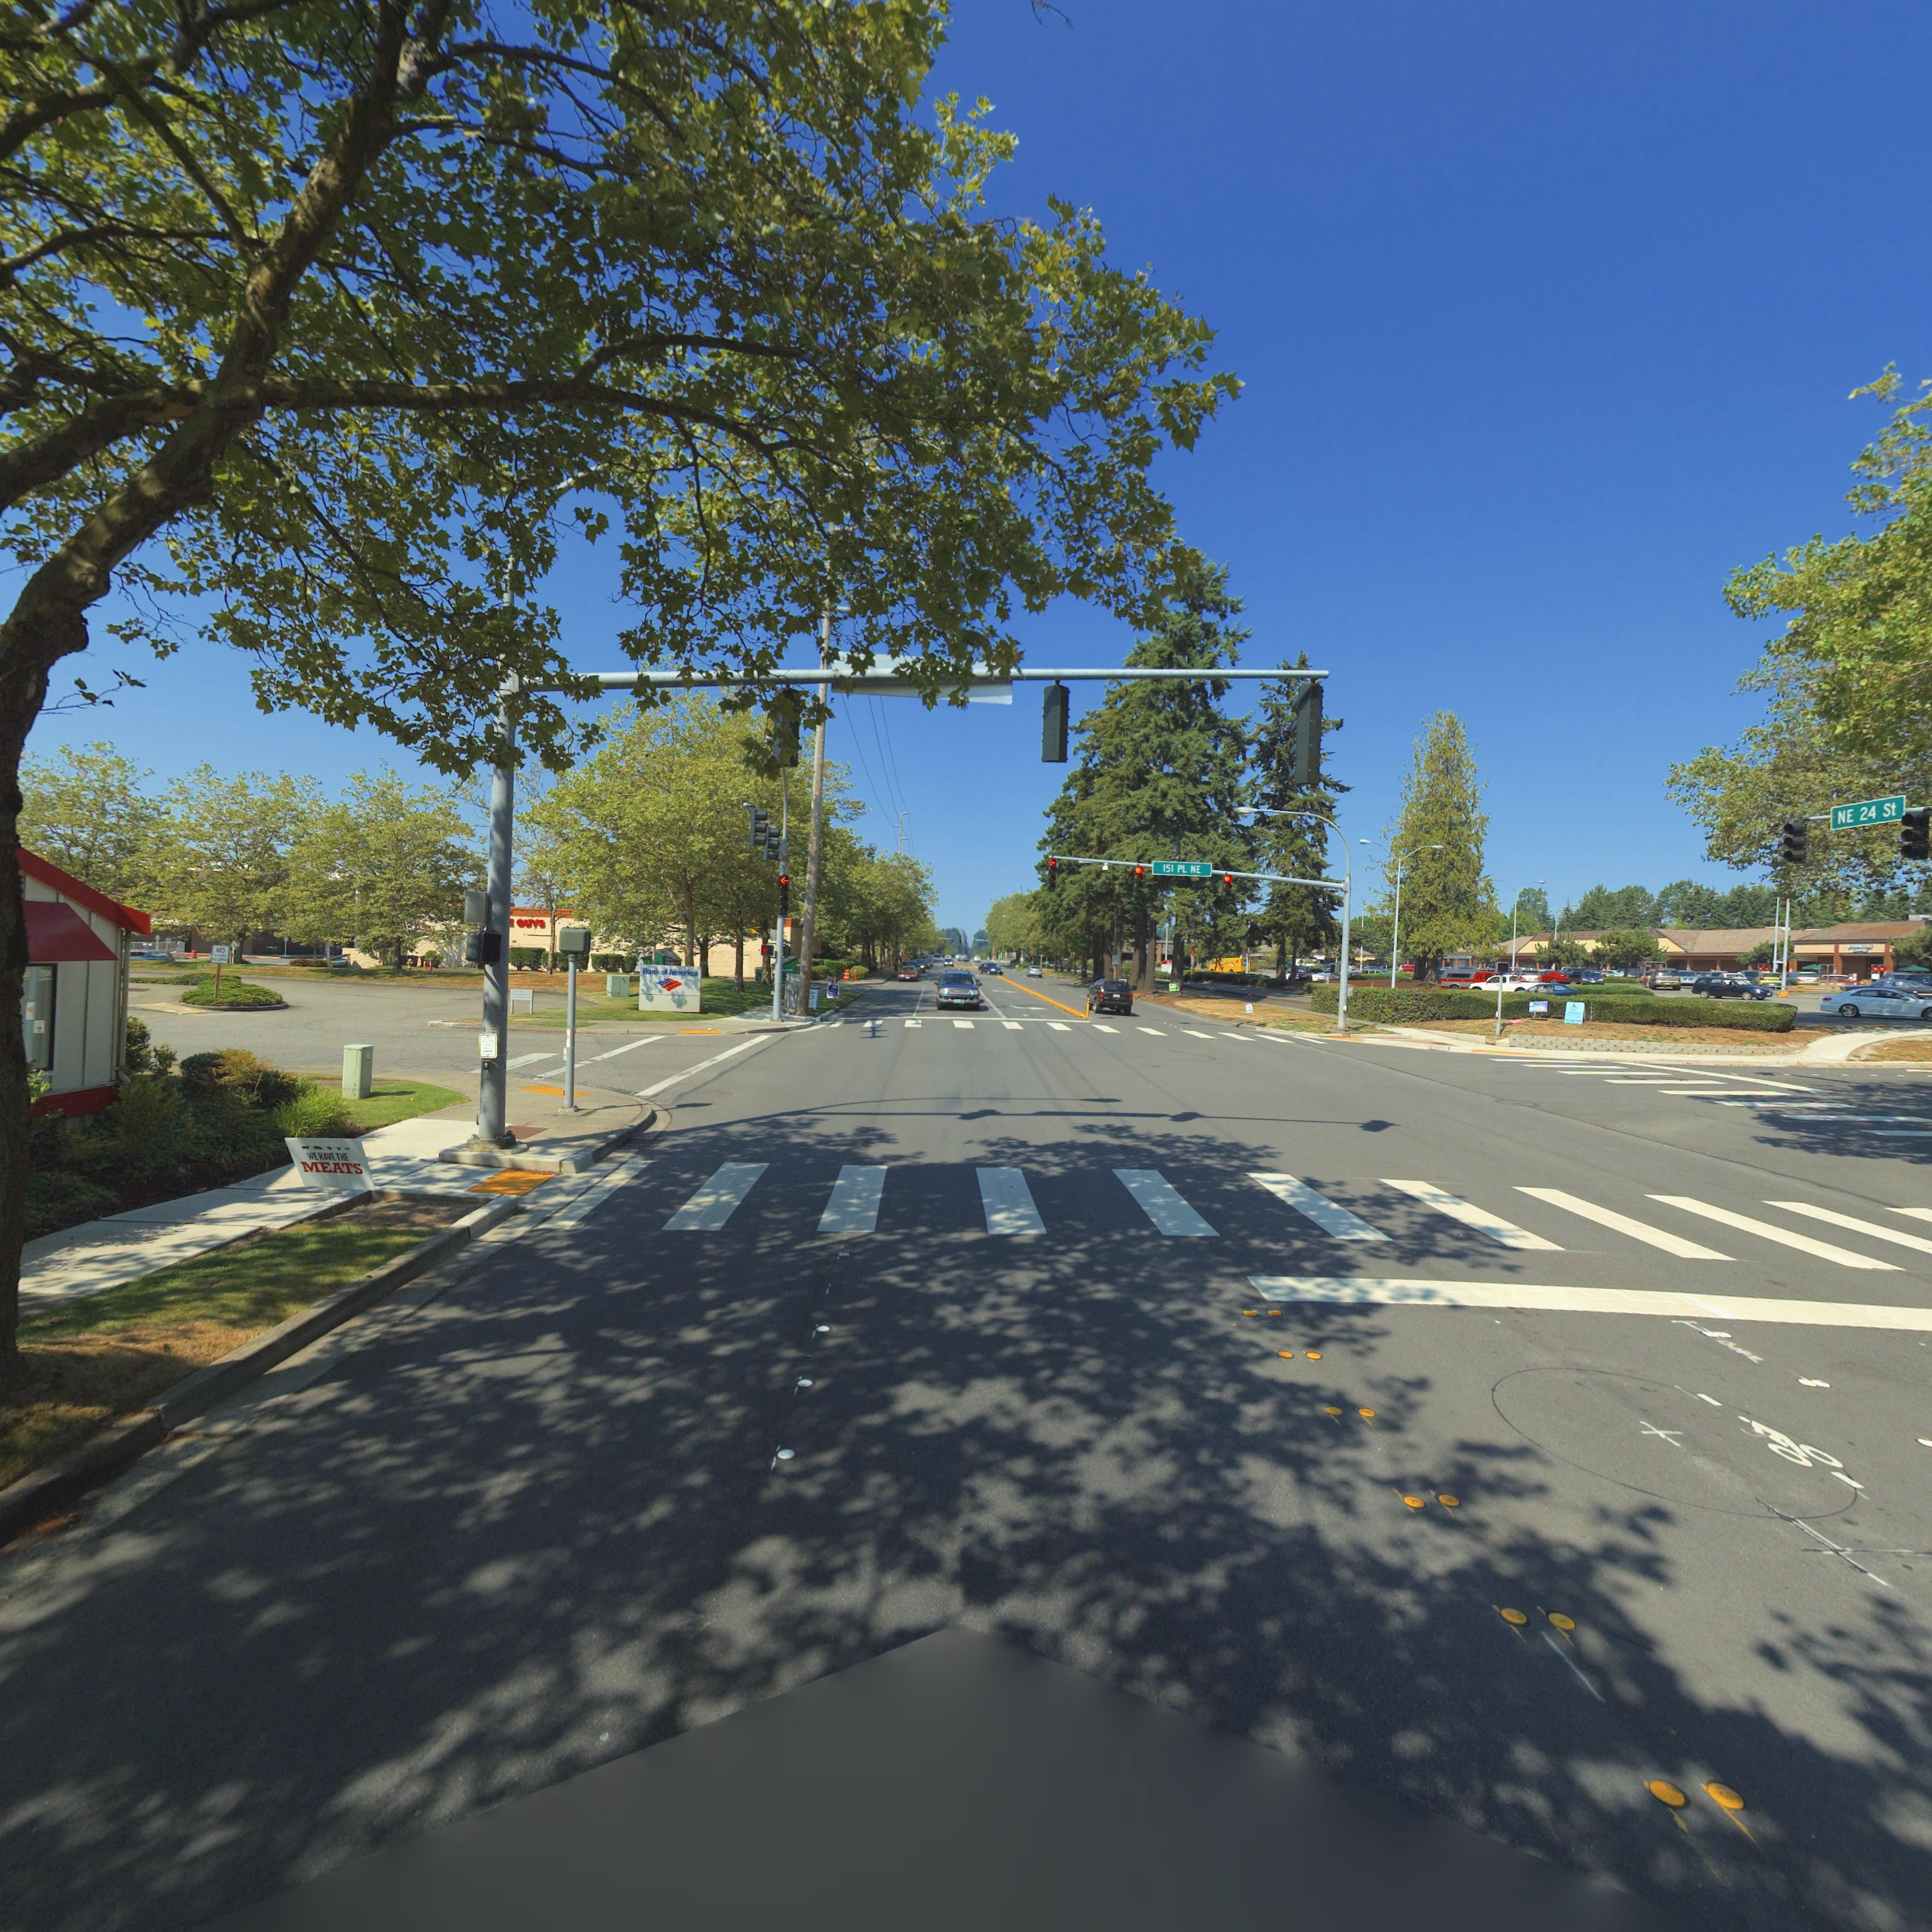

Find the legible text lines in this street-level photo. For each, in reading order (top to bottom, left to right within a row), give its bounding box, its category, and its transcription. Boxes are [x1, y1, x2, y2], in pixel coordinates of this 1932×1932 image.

[1835, 800, 1898, 825] StreetName: NE 24 St
[1163, 864, 1200, 873] StreetName: 151 PL NE
[642, 965, 698, 977] BusinessName: Bank of America